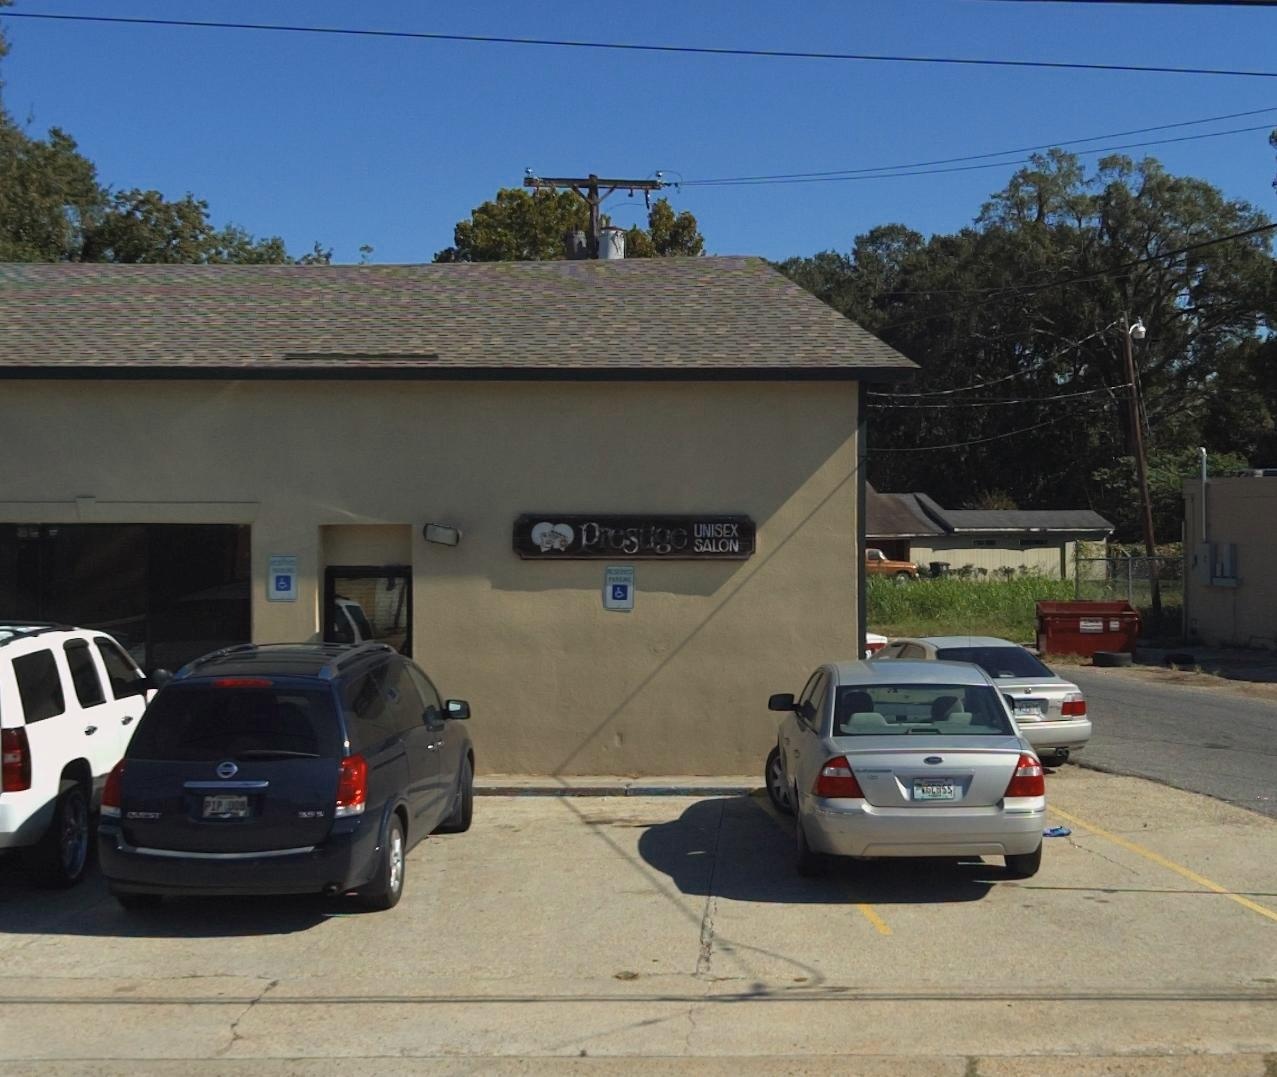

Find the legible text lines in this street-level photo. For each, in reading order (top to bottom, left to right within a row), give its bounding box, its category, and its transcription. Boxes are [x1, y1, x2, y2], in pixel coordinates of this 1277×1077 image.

[575, 519, 690, 557] BusinessName: Prestige
[691, 521, 740, 539] BusinessName: UNISEX
[692, 537, 741, 554] BusinessName: SALON
[915, 782, 954, 797] None: *6C*55
[203, 799, 249, 813] None: PIP***
[123, 809, 164, 822] None: QUEST